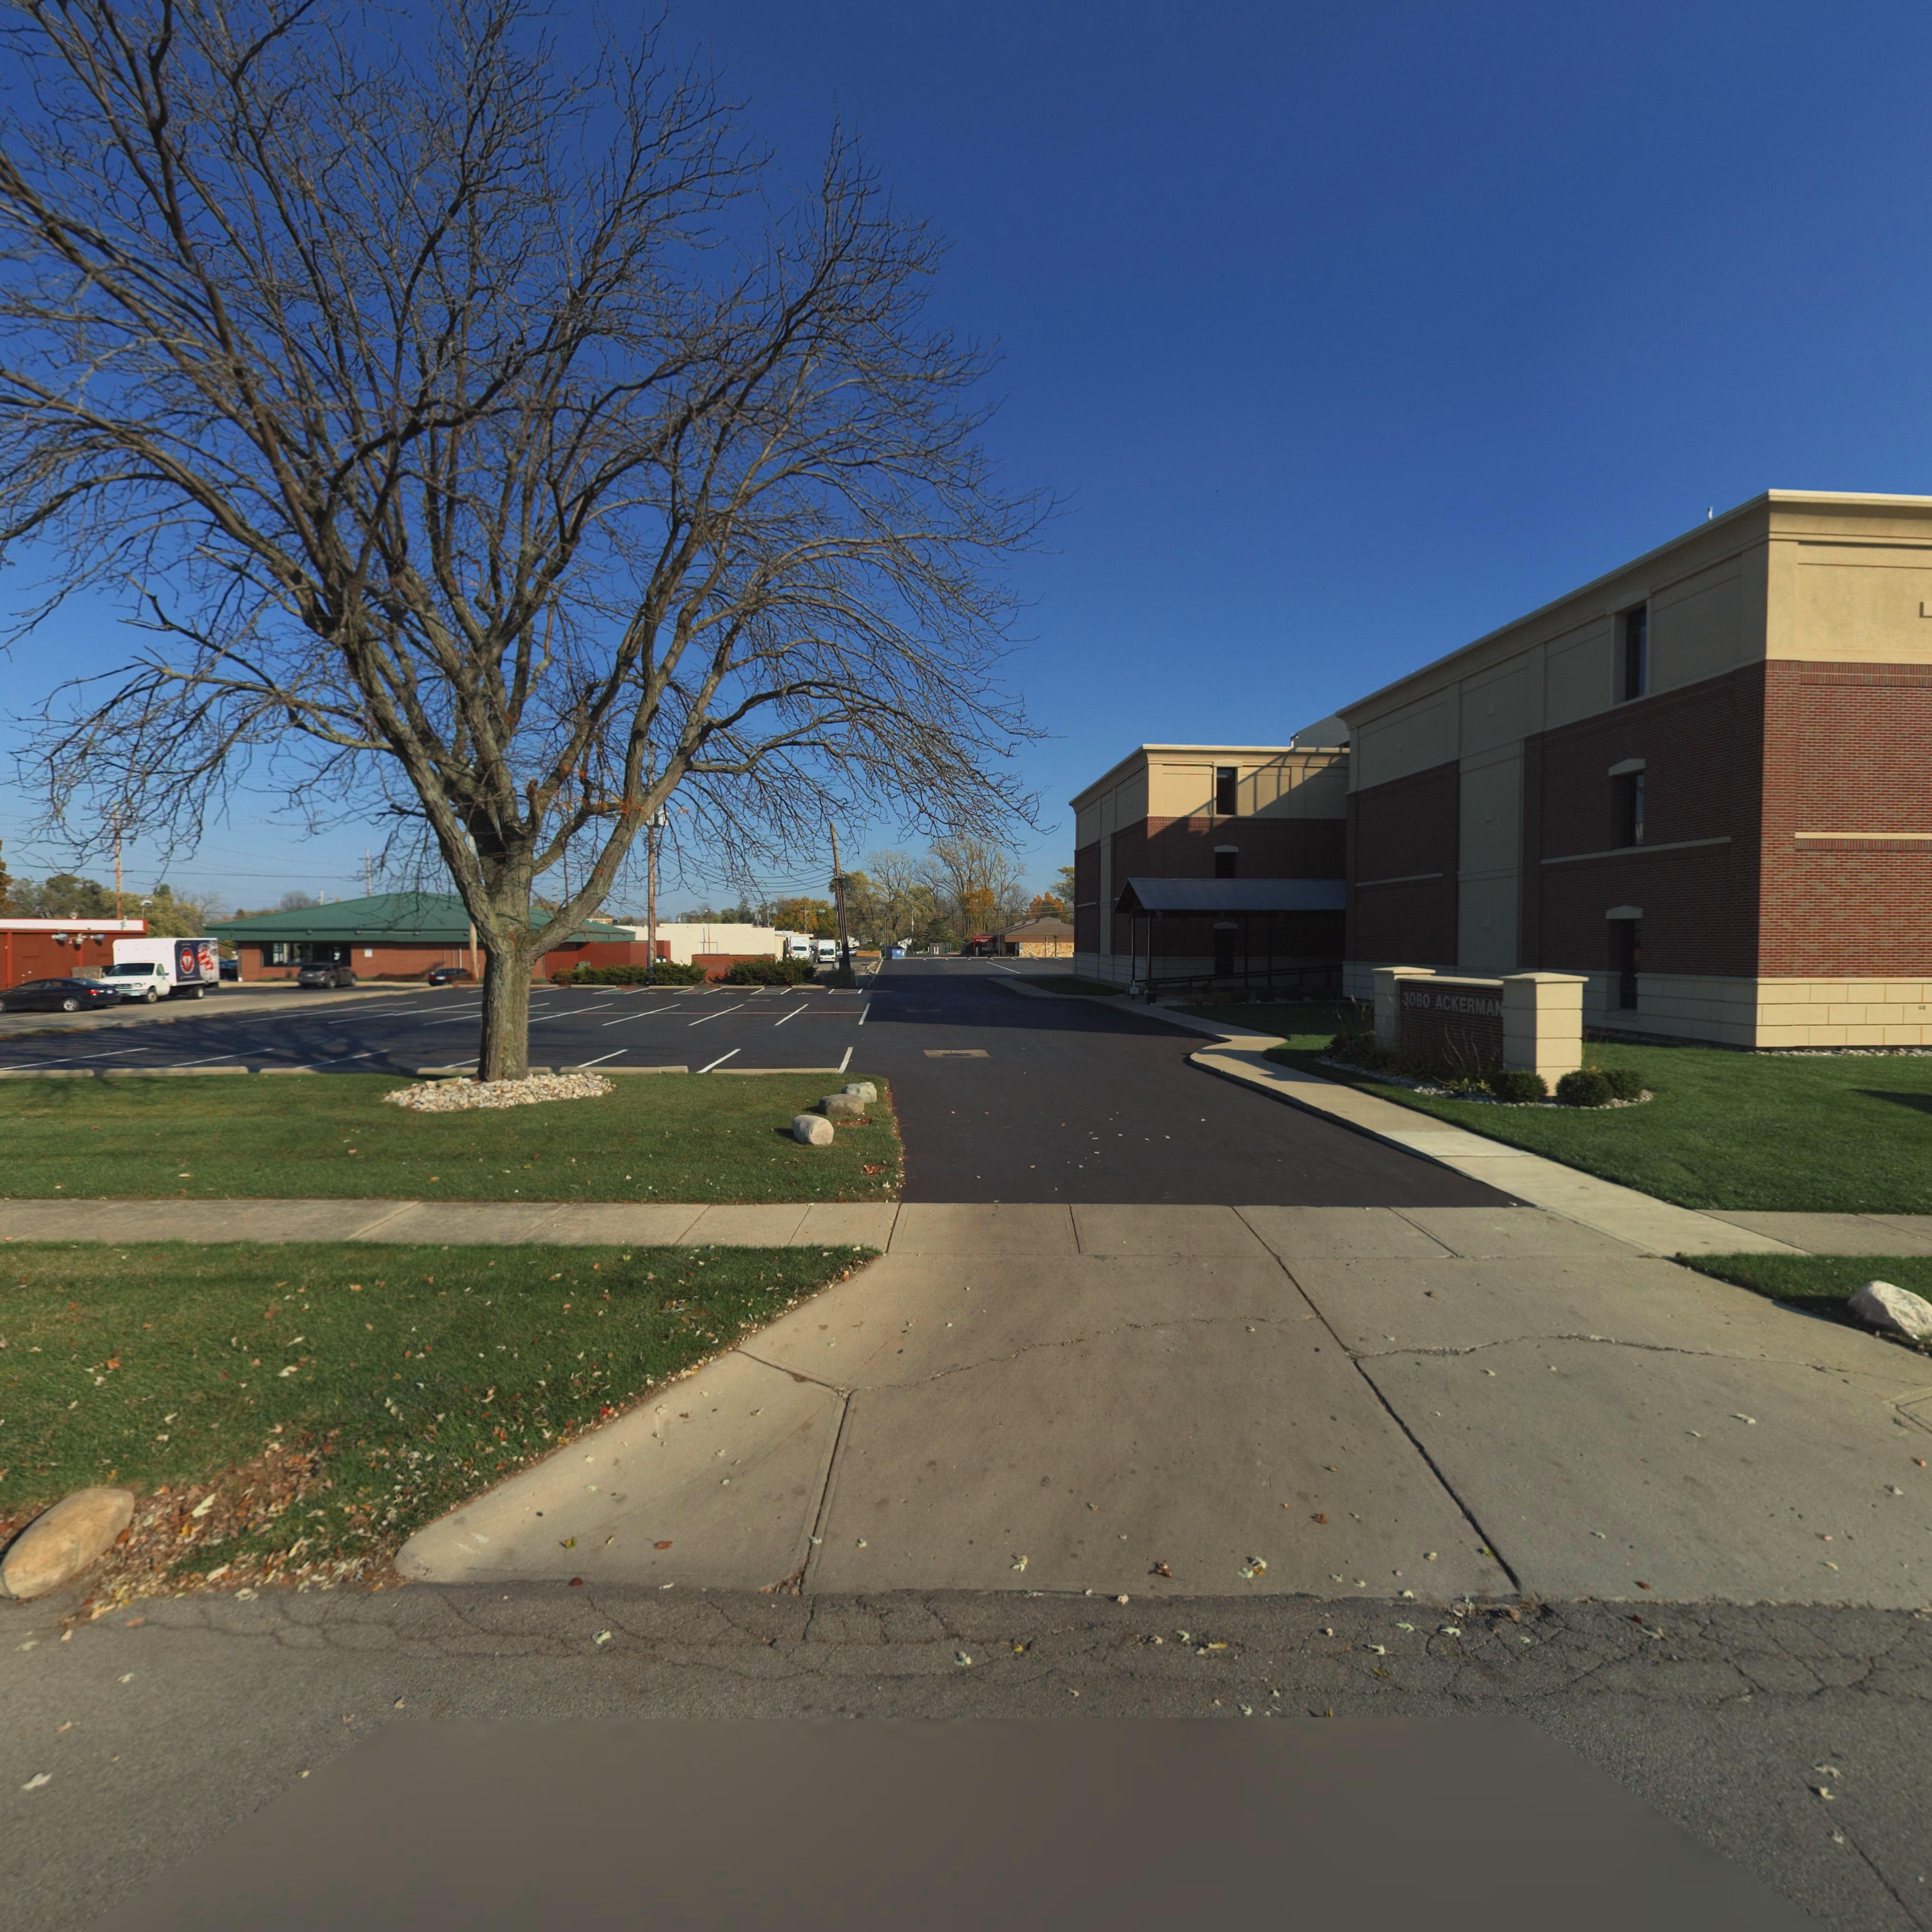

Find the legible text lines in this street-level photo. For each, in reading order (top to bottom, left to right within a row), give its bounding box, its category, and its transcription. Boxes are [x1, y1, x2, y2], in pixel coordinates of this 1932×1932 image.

[1401, 990, 1432, 1010] StreetNumber: 3080
[1433, 994, 1505, 1018] StreetName: ACKERMAN